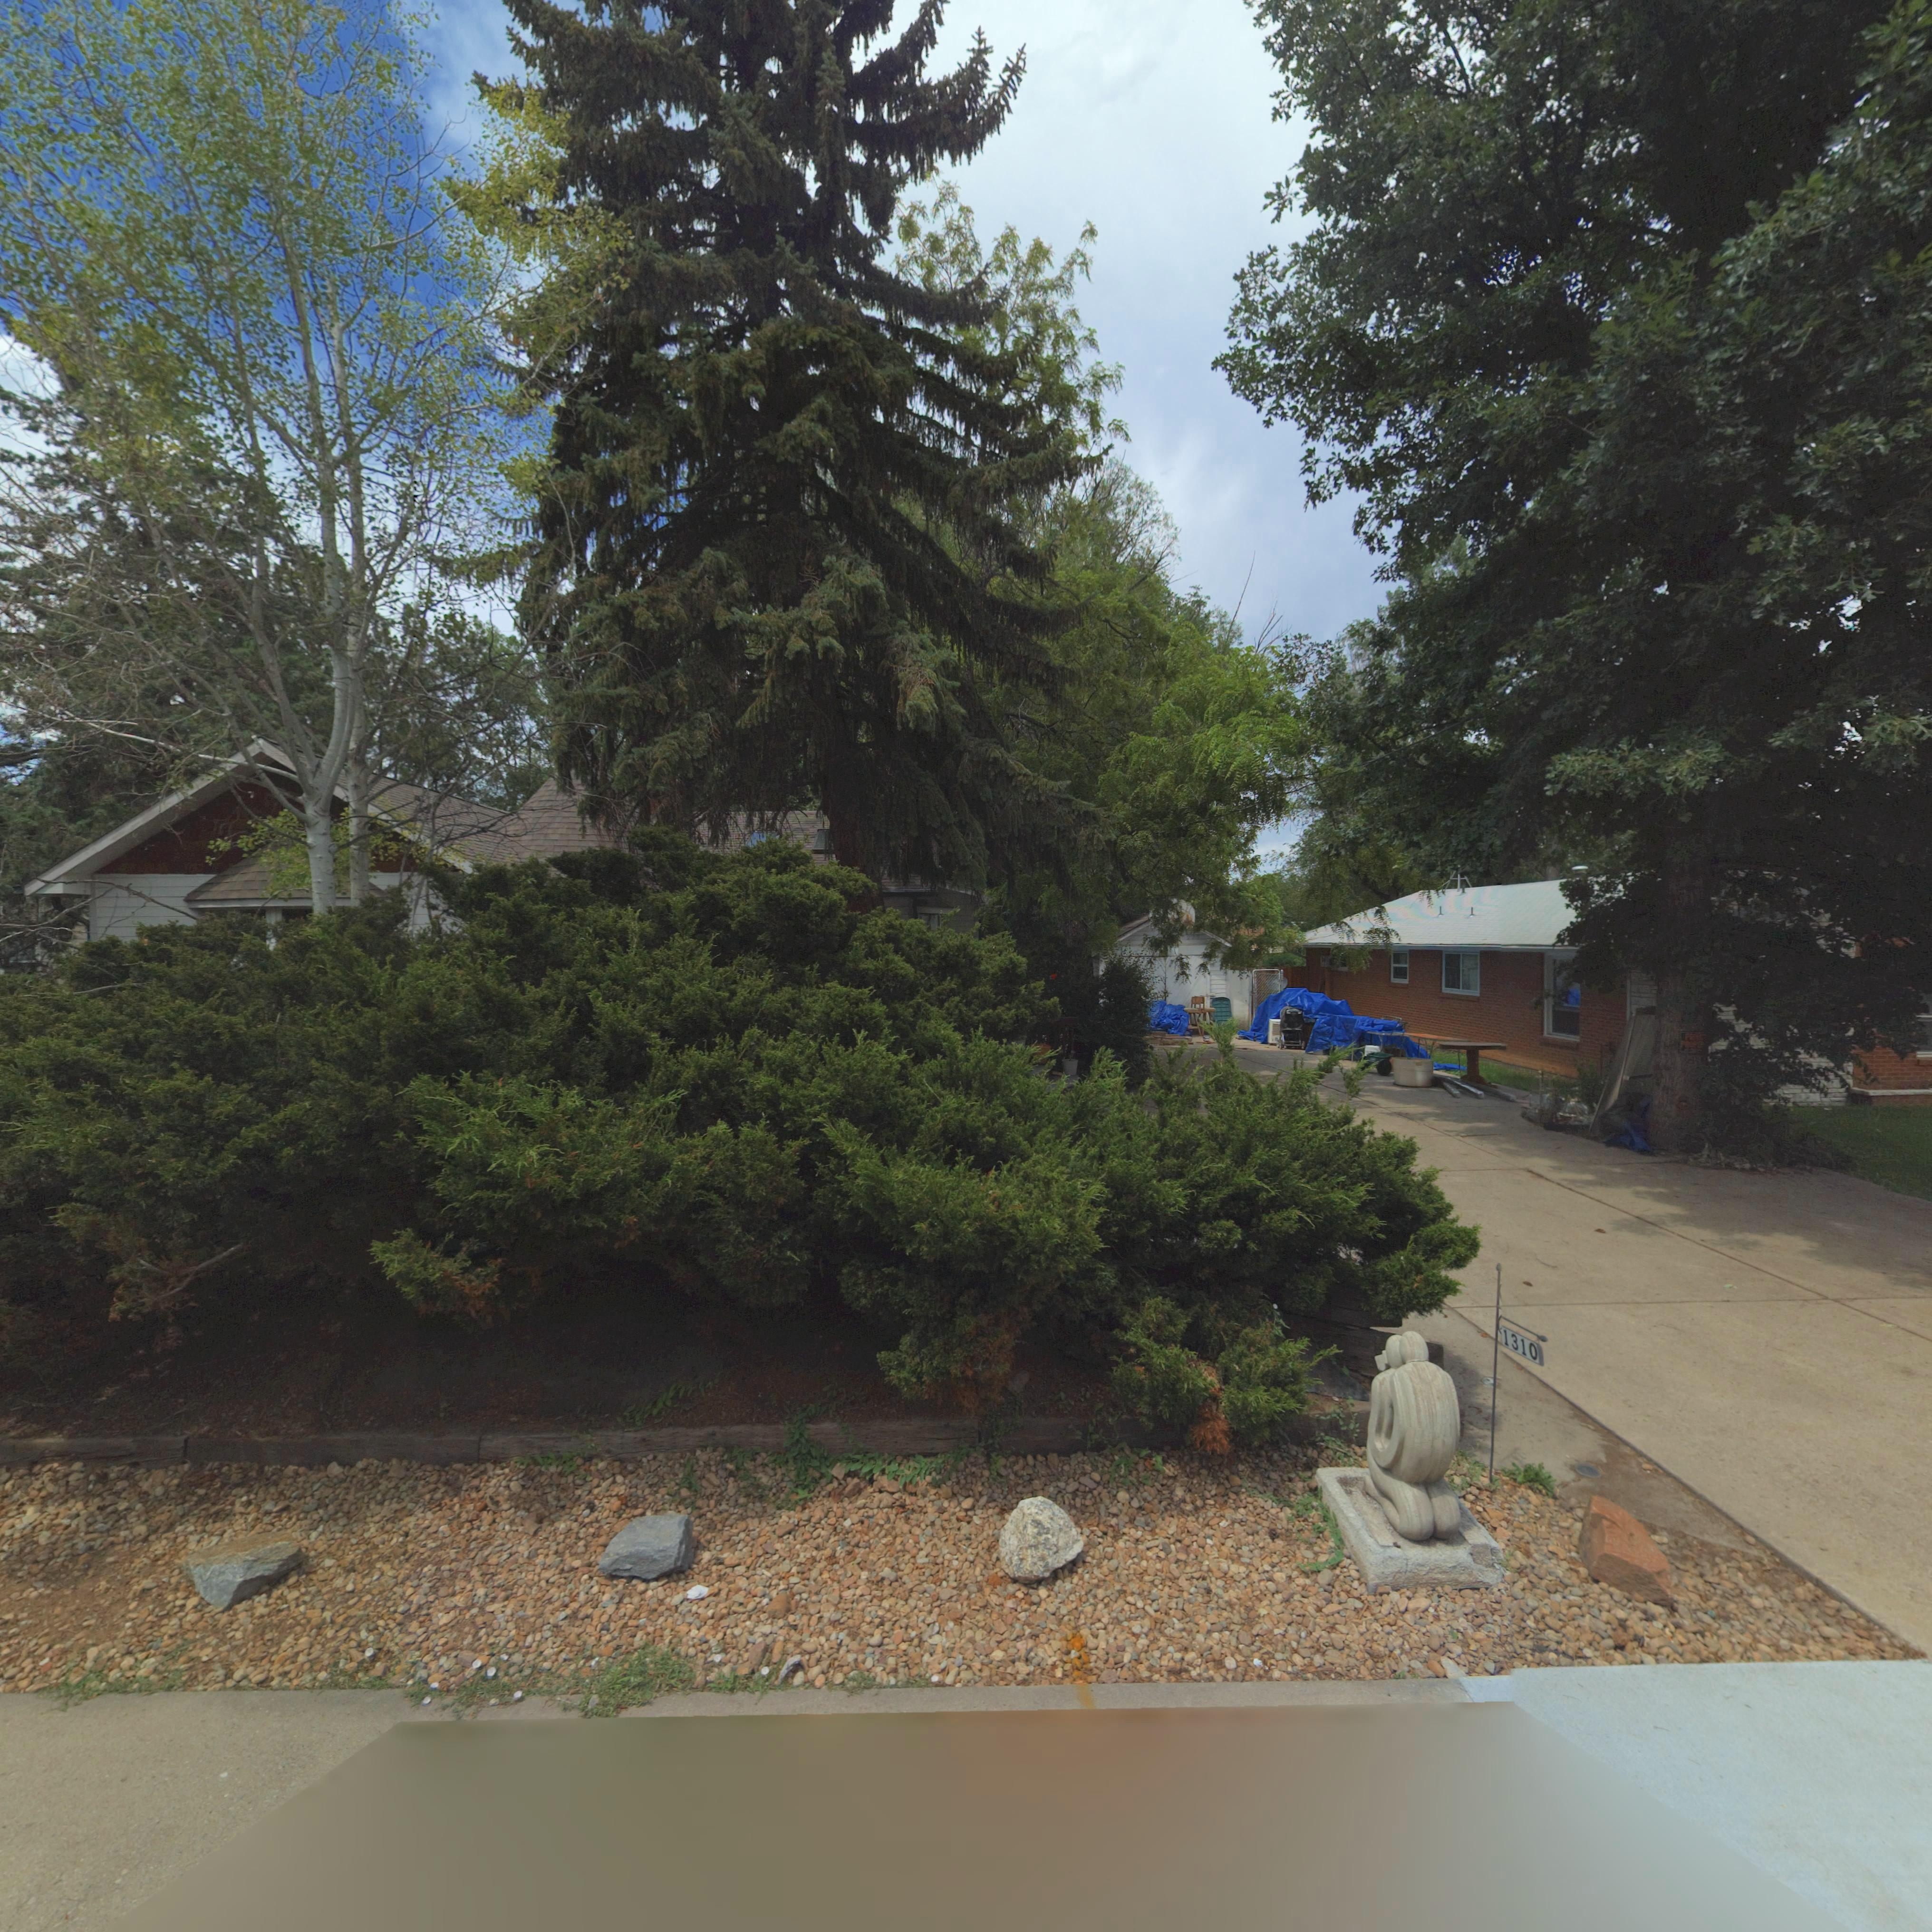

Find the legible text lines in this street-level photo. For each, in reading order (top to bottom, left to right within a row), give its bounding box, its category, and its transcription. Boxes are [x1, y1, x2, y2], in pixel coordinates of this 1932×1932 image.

[1502, 1327, 1540, 1362] StreetNumber: 1310